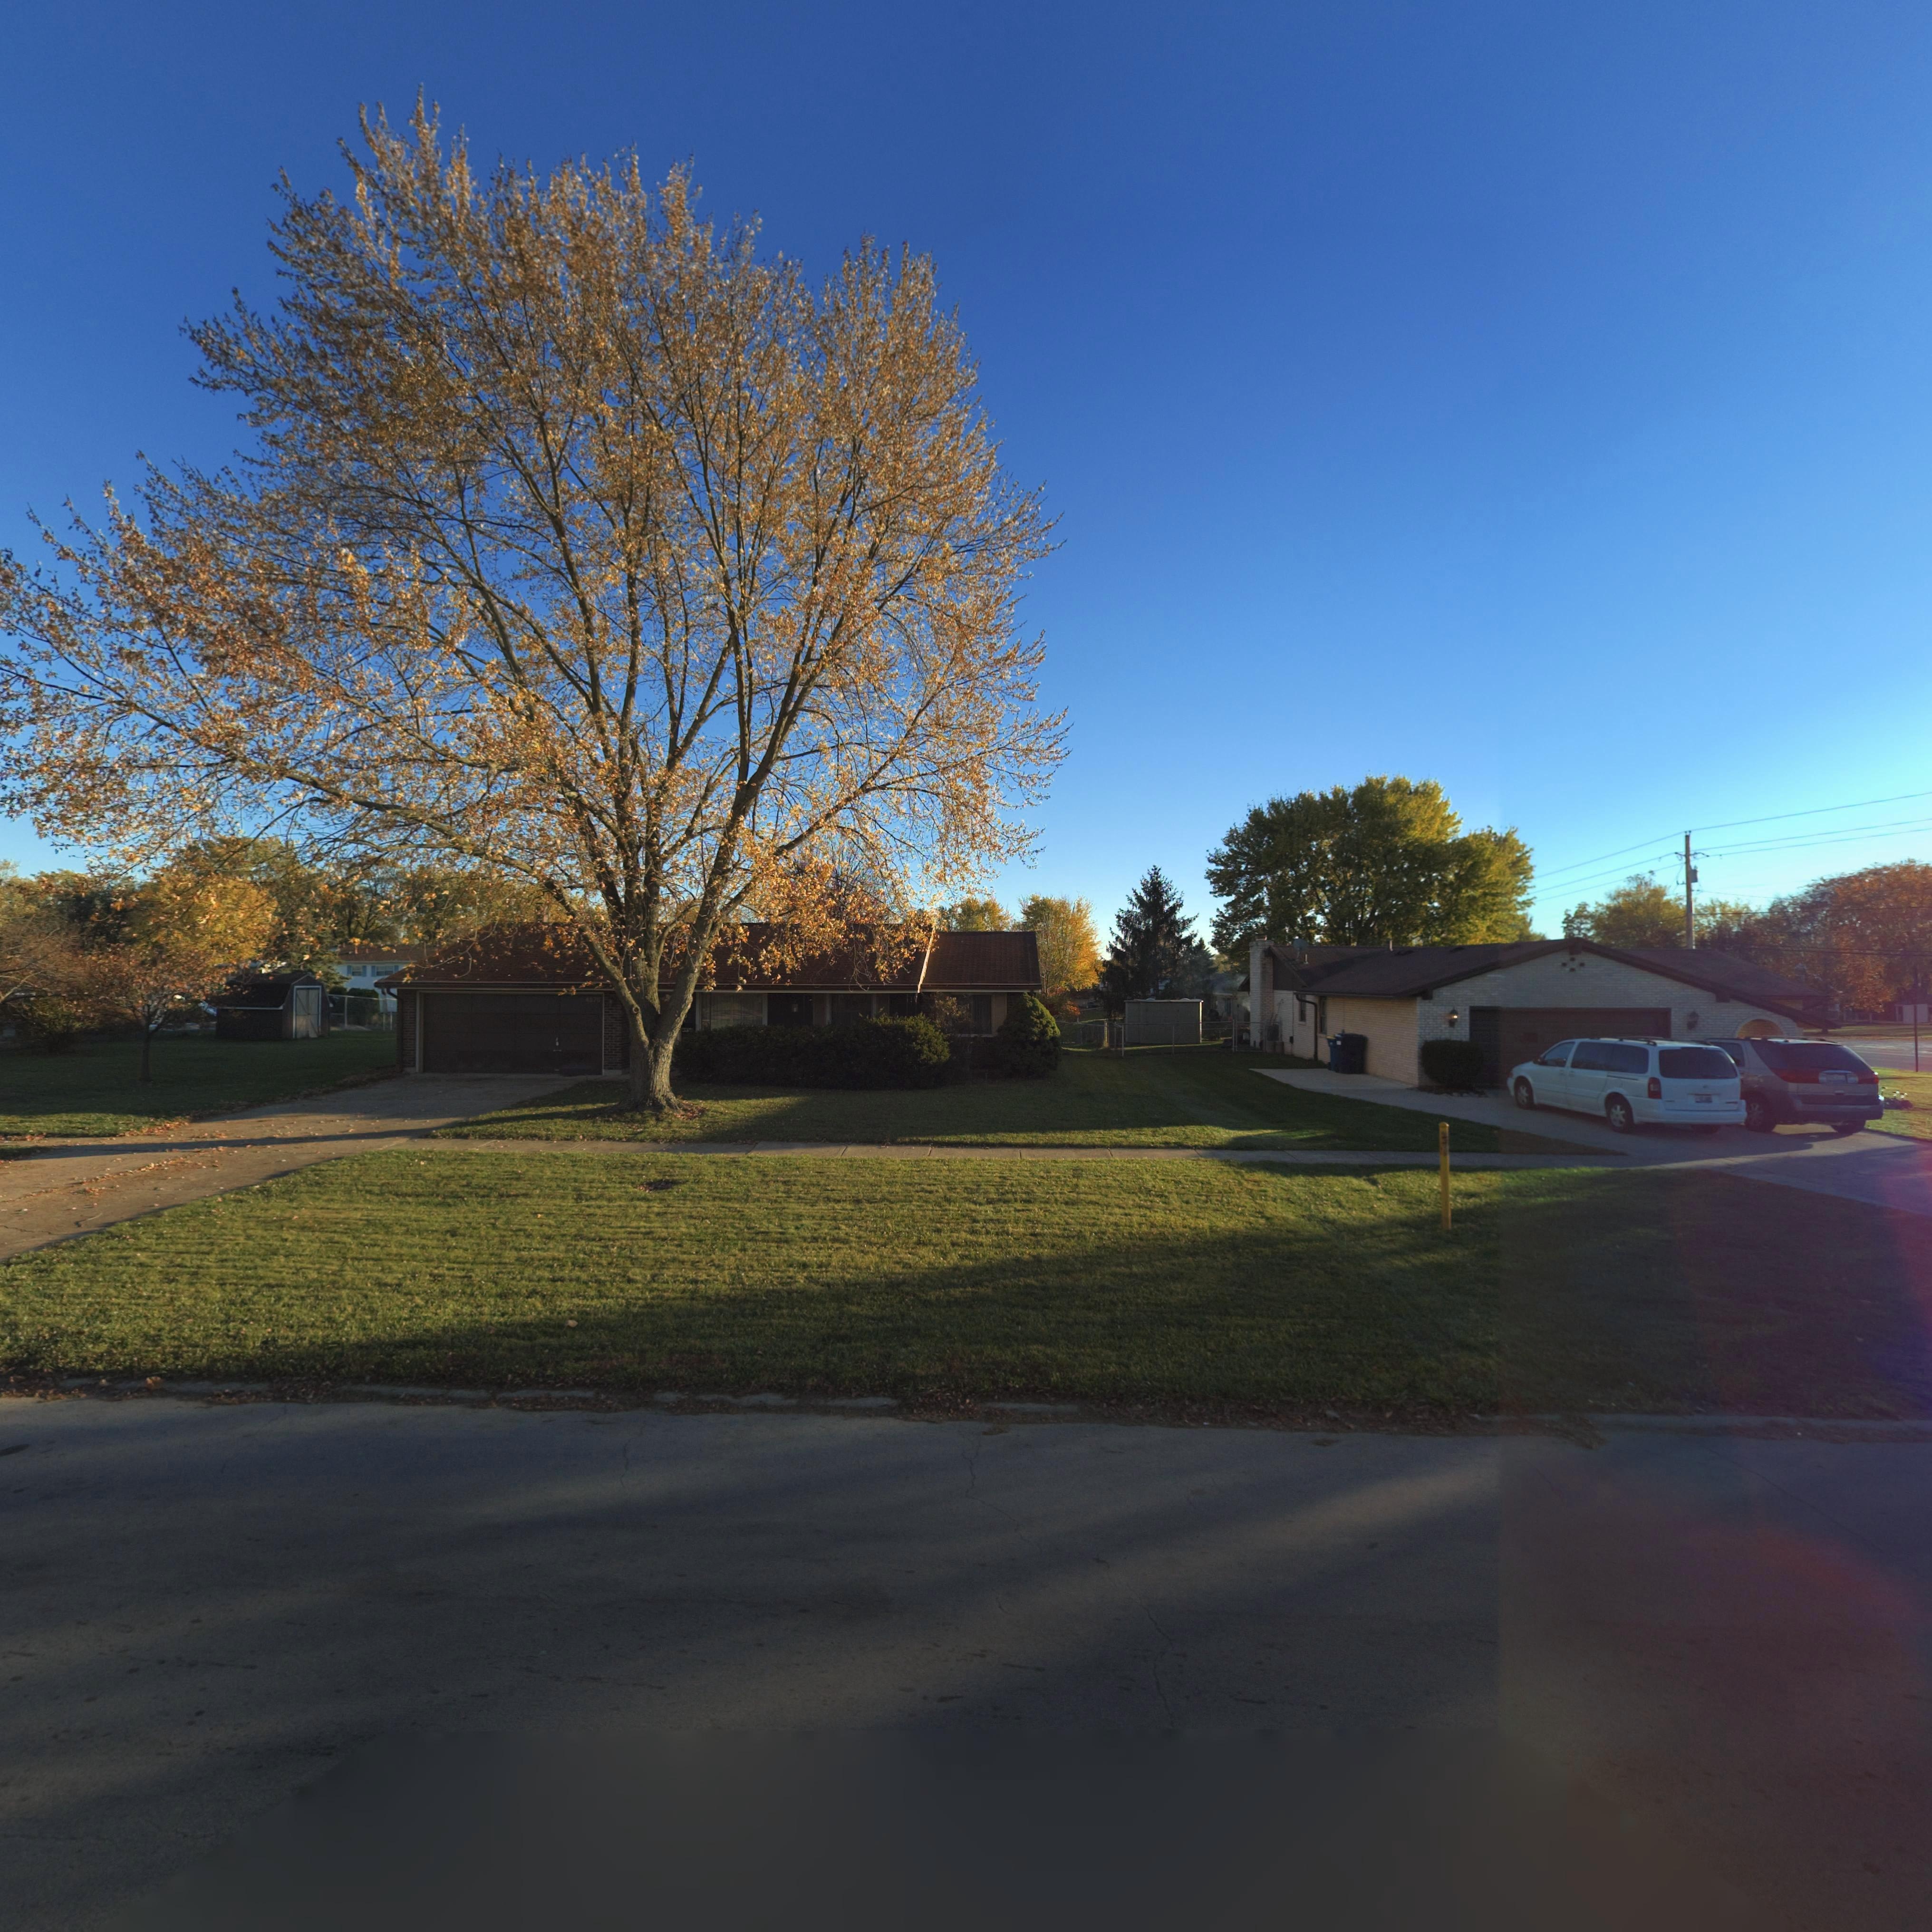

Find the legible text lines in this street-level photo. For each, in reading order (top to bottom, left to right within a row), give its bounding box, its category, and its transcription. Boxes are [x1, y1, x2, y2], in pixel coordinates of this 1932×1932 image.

[585, 996, 601, 1003] StreetNumber: 4976
[682, 1028, 692, 1032] StreetNumber: 49**